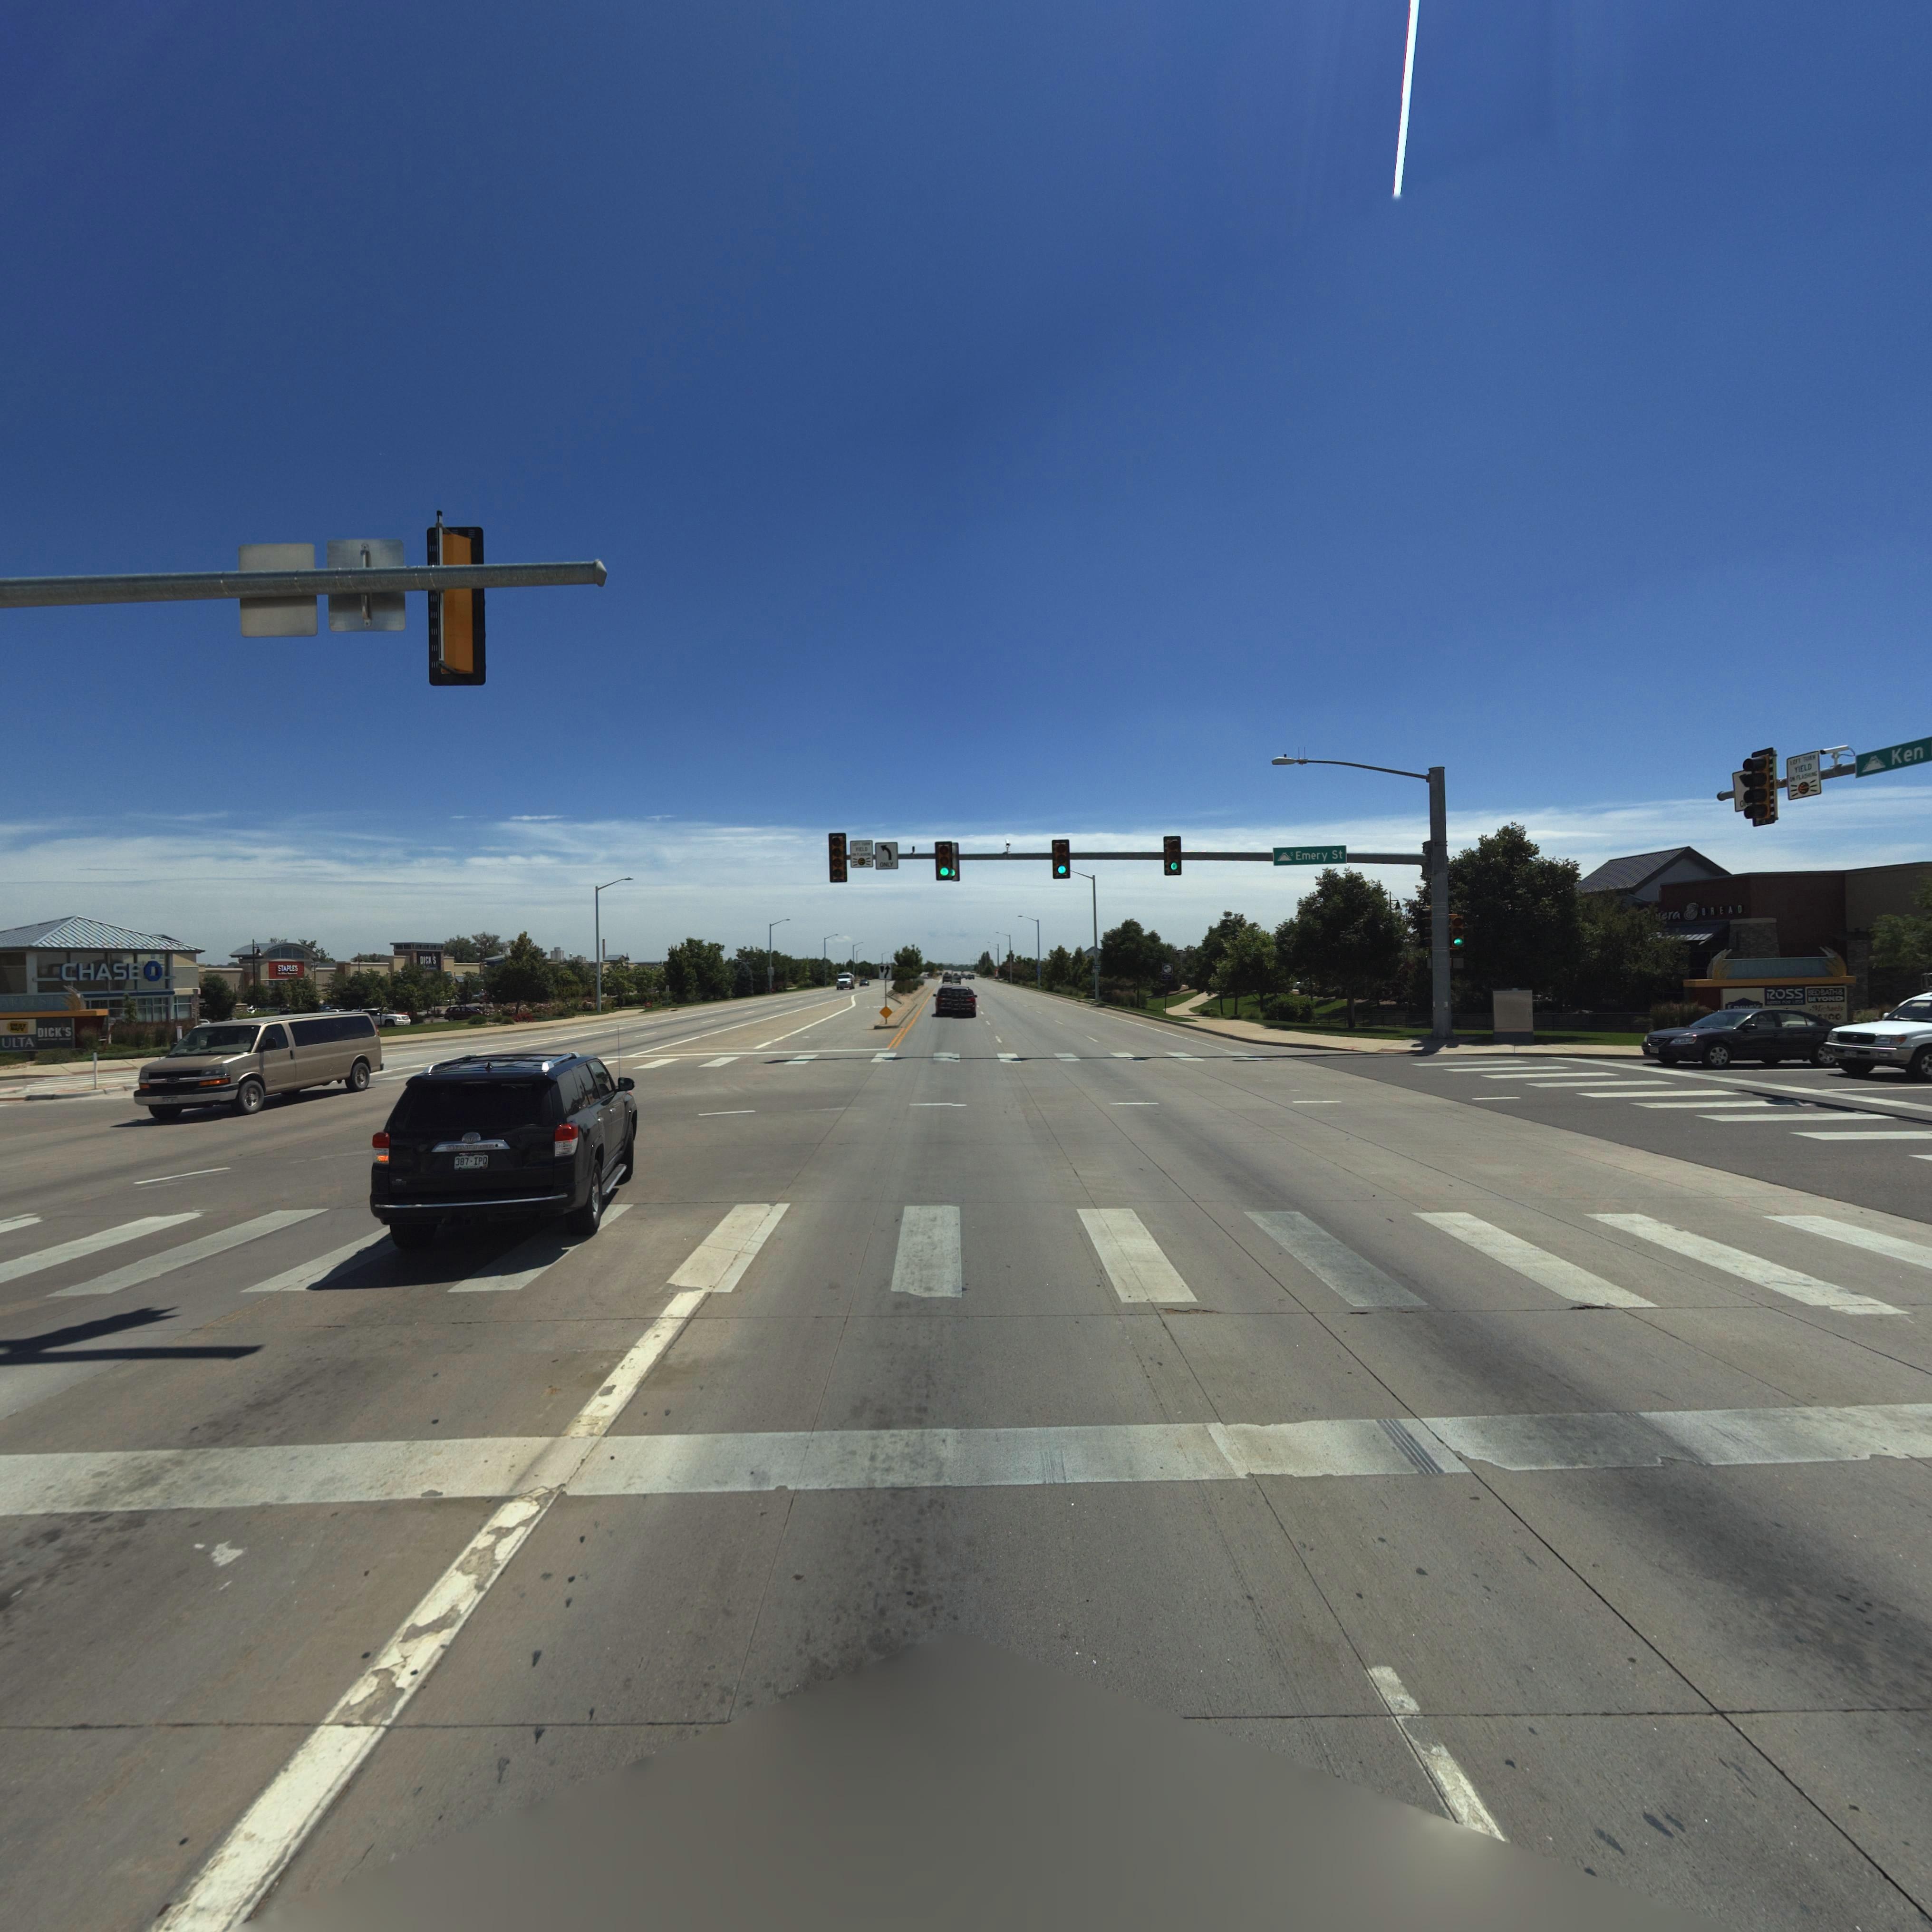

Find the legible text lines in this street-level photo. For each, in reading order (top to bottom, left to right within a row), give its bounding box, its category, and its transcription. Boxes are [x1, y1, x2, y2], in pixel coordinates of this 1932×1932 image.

[1891, 746, 1923, 765] StreetName: Ken
[1290, 850, 1343, 862] StreetName: S Emery St
[1660, 910, 1681, 921] BusinessName: era
[1701, 905, 1742, 916] BusinessName: BREAD
[61, 962, 140, 981] BusinessName: CHASE
[277, 965, 298, 971] BusinessName: STAPLES
[1766, 988, 1803, 1000] BusinessName: ROSS
[1807, 988, 1843, 995] BusinessName: BED BATH &
[1808, 995, 1844, 1002] BusinessName: BEYOND
[1810, 1005, 1844, 1012] BusinessName: Michael's
[11, 1026, 24, 1031] BusinessName: BUY
[9, 1023, 27, 1027] BusinessName: BEST
[38, 1026, 71, 1037] BusinessName: DICK'S
[1, 1037, 35, 1048] BusinessName: ULTA